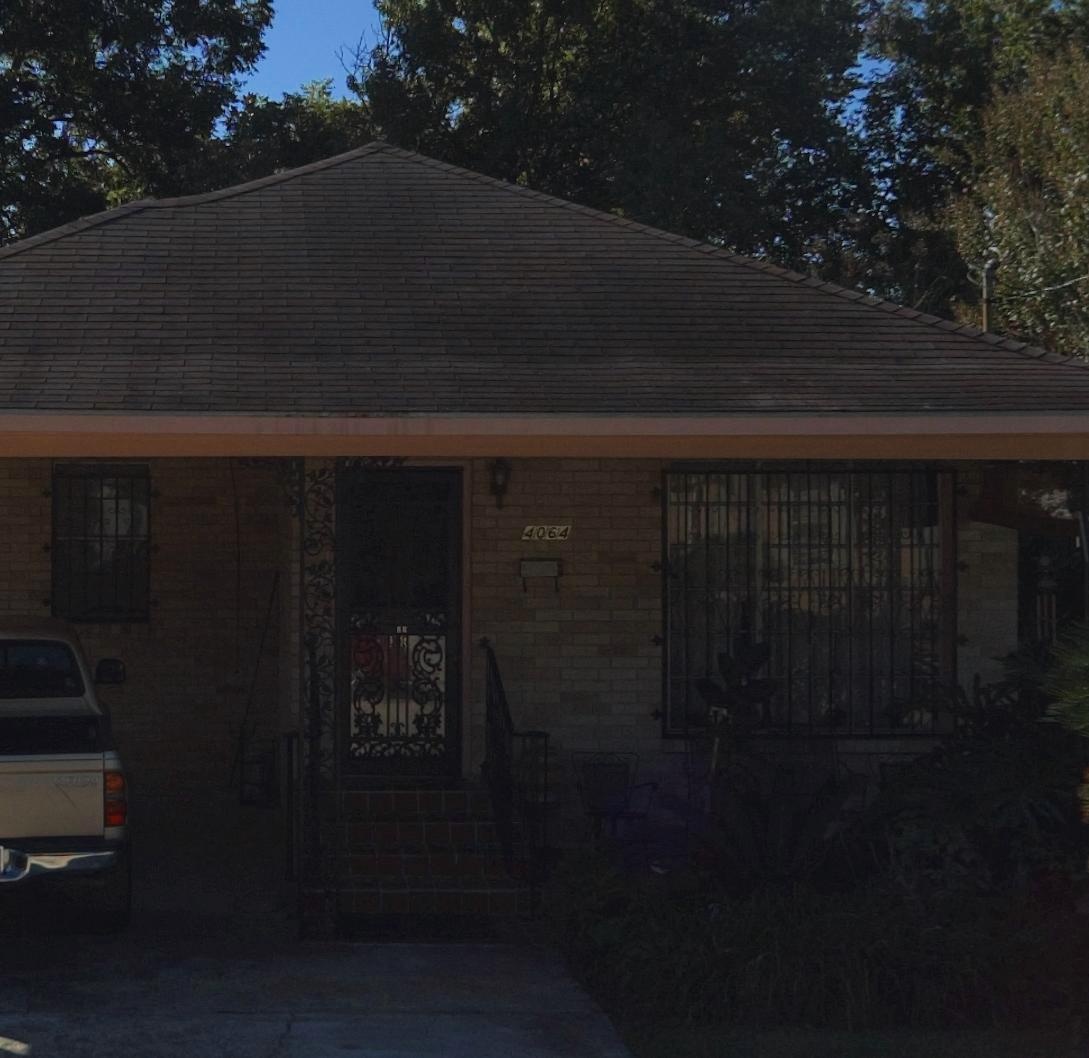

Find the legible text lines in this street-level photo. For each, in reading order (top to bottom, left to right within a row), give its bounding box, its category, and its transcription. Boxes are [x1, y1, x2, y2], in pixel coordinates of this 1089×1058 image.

[520, 524, 572, 541] StreetNumber: 4064